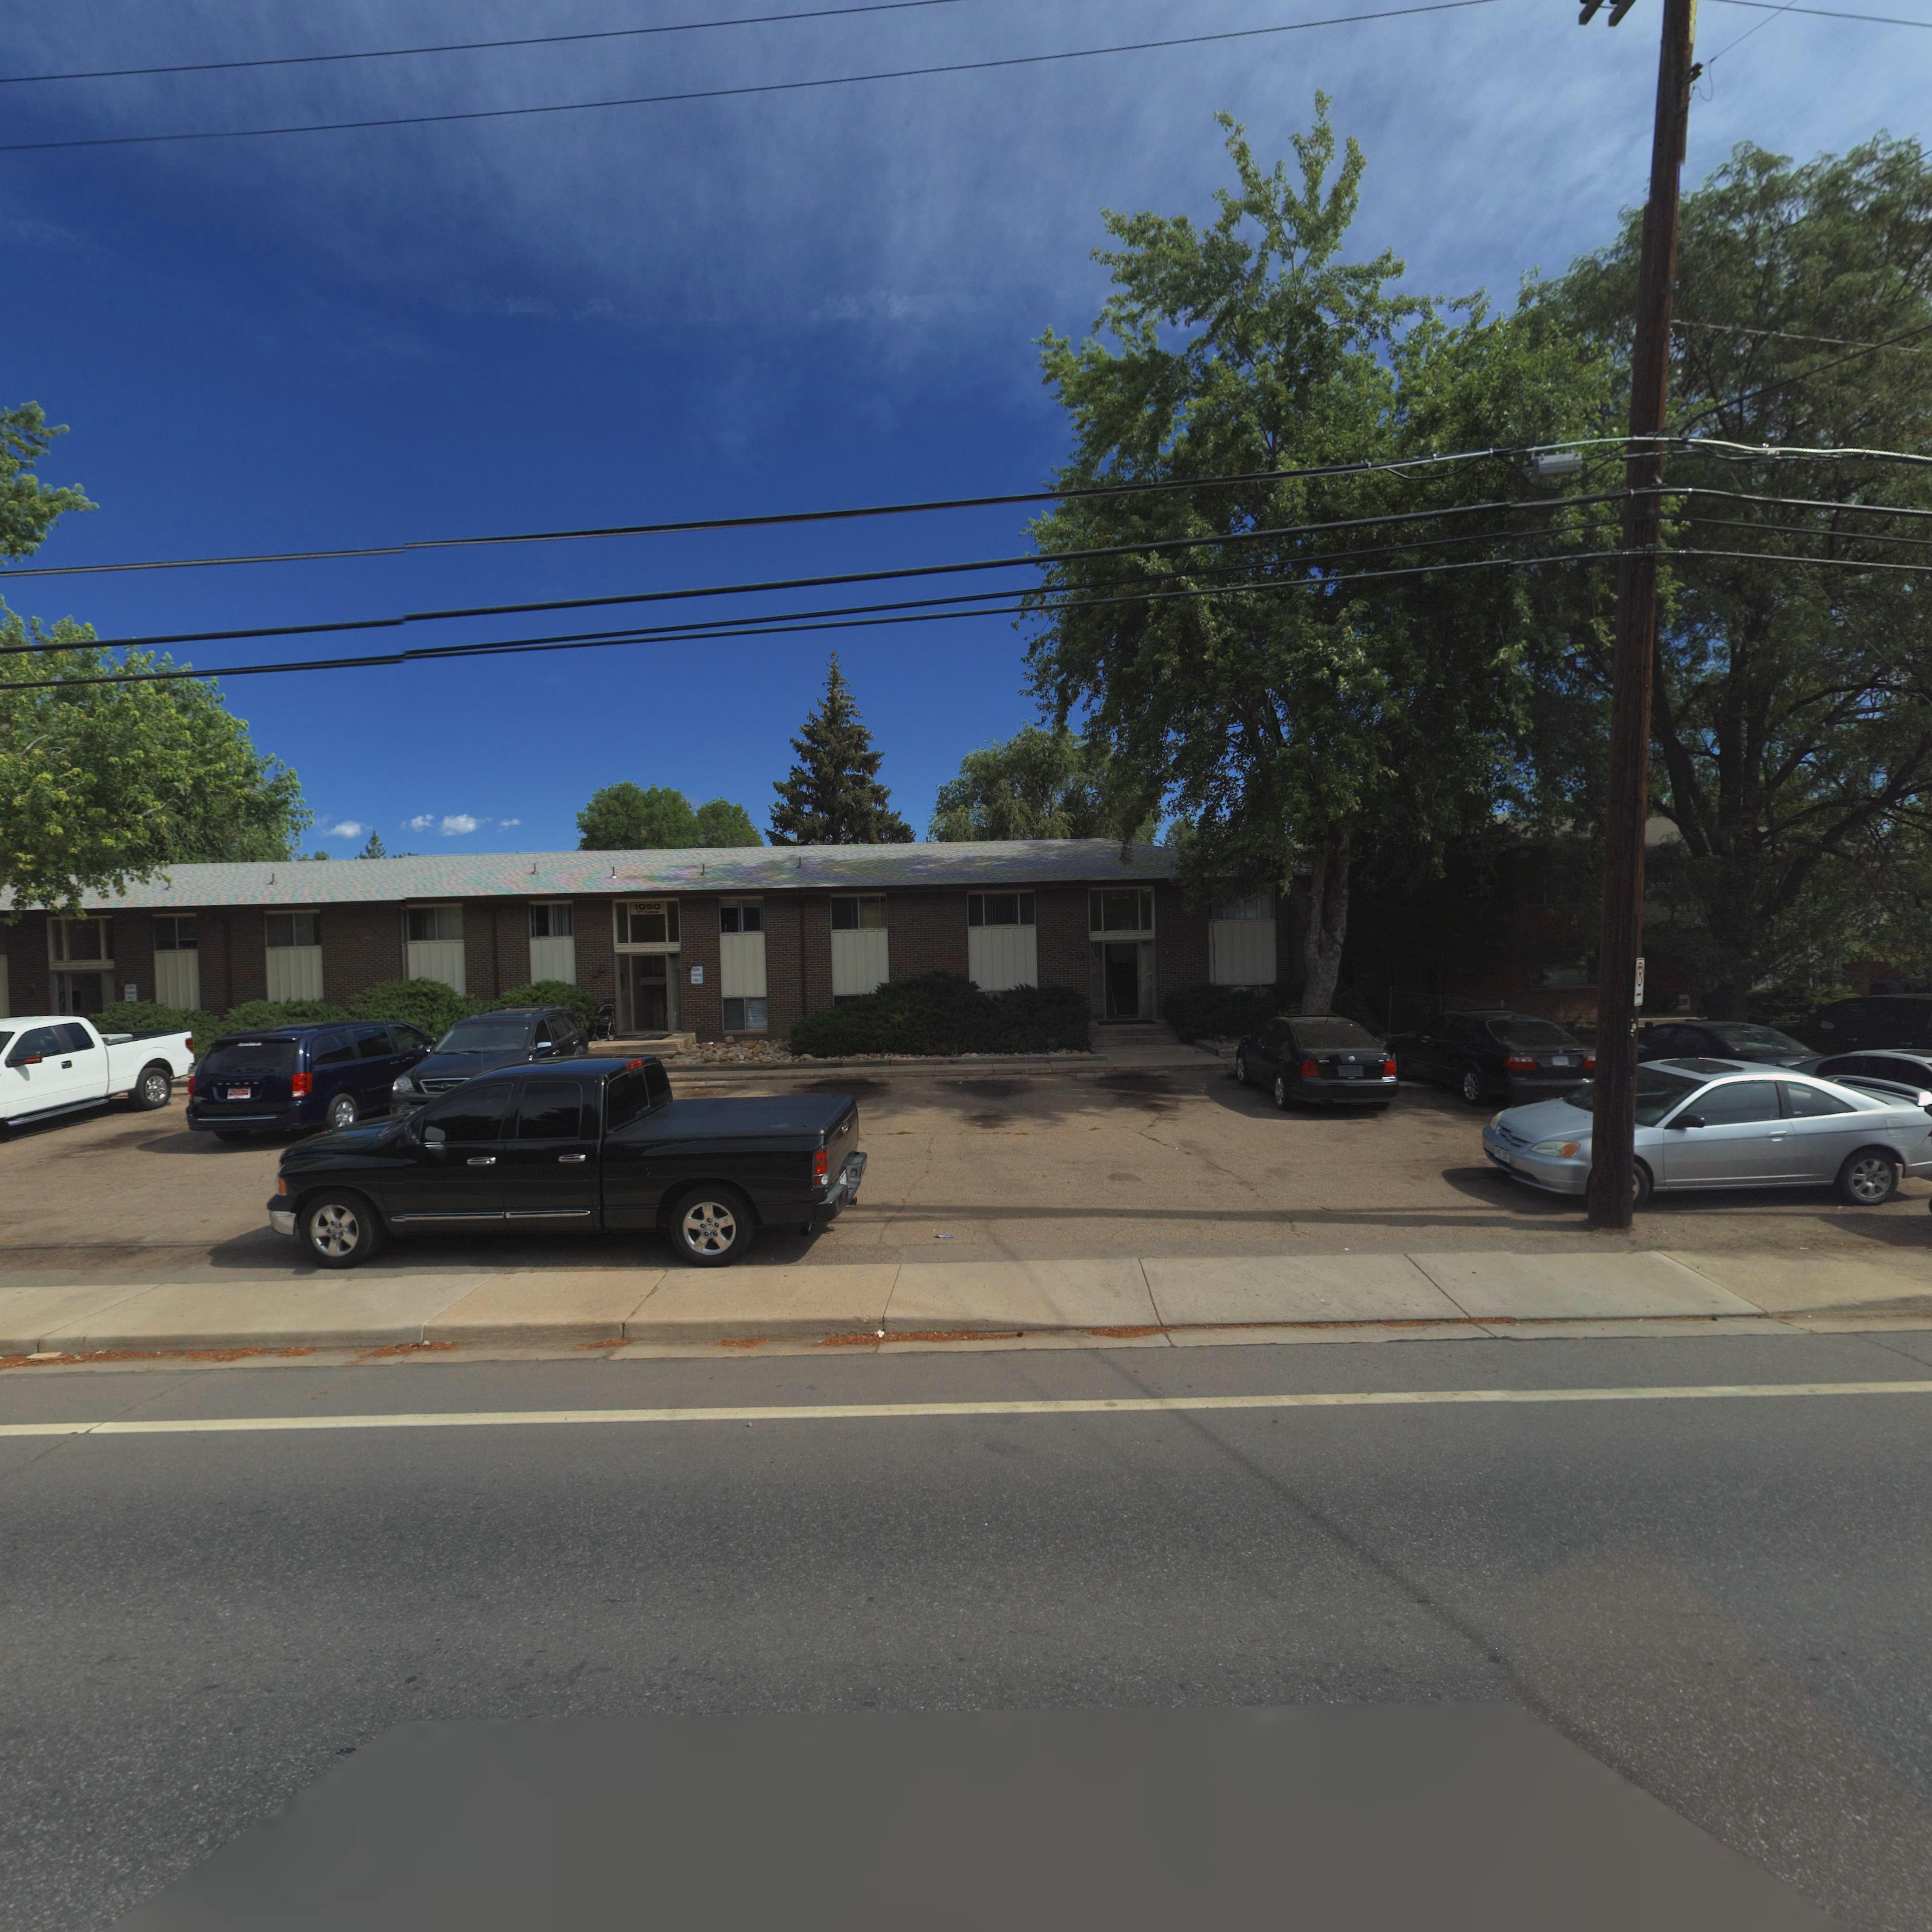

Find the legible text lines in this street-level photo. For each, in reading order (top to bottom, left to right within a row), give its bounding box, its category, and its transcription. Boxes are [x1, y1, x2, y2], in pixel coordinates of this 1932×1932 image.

[634, 903, 661, 910] StreetNumber: 1050